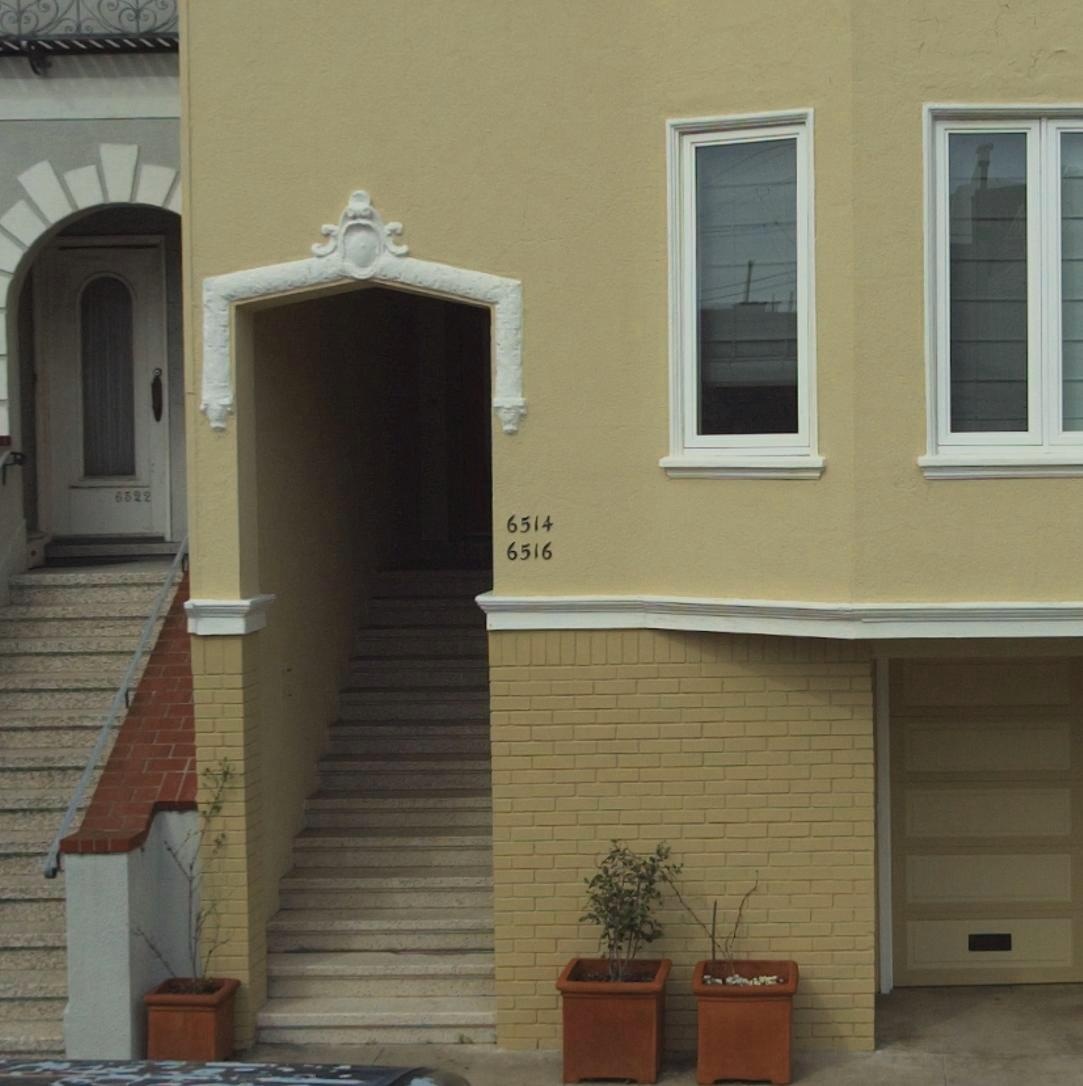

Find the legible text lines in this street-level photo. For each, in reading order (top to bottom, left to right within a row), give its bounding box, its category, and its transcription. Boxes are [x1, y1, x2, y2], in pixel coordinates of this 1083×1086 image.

[114, 490, 152, 503] StreetNumber: 6522
[505, 513, 554, 534] StreetNumber: 6514
[505, 540, 554, 561] None: 6516